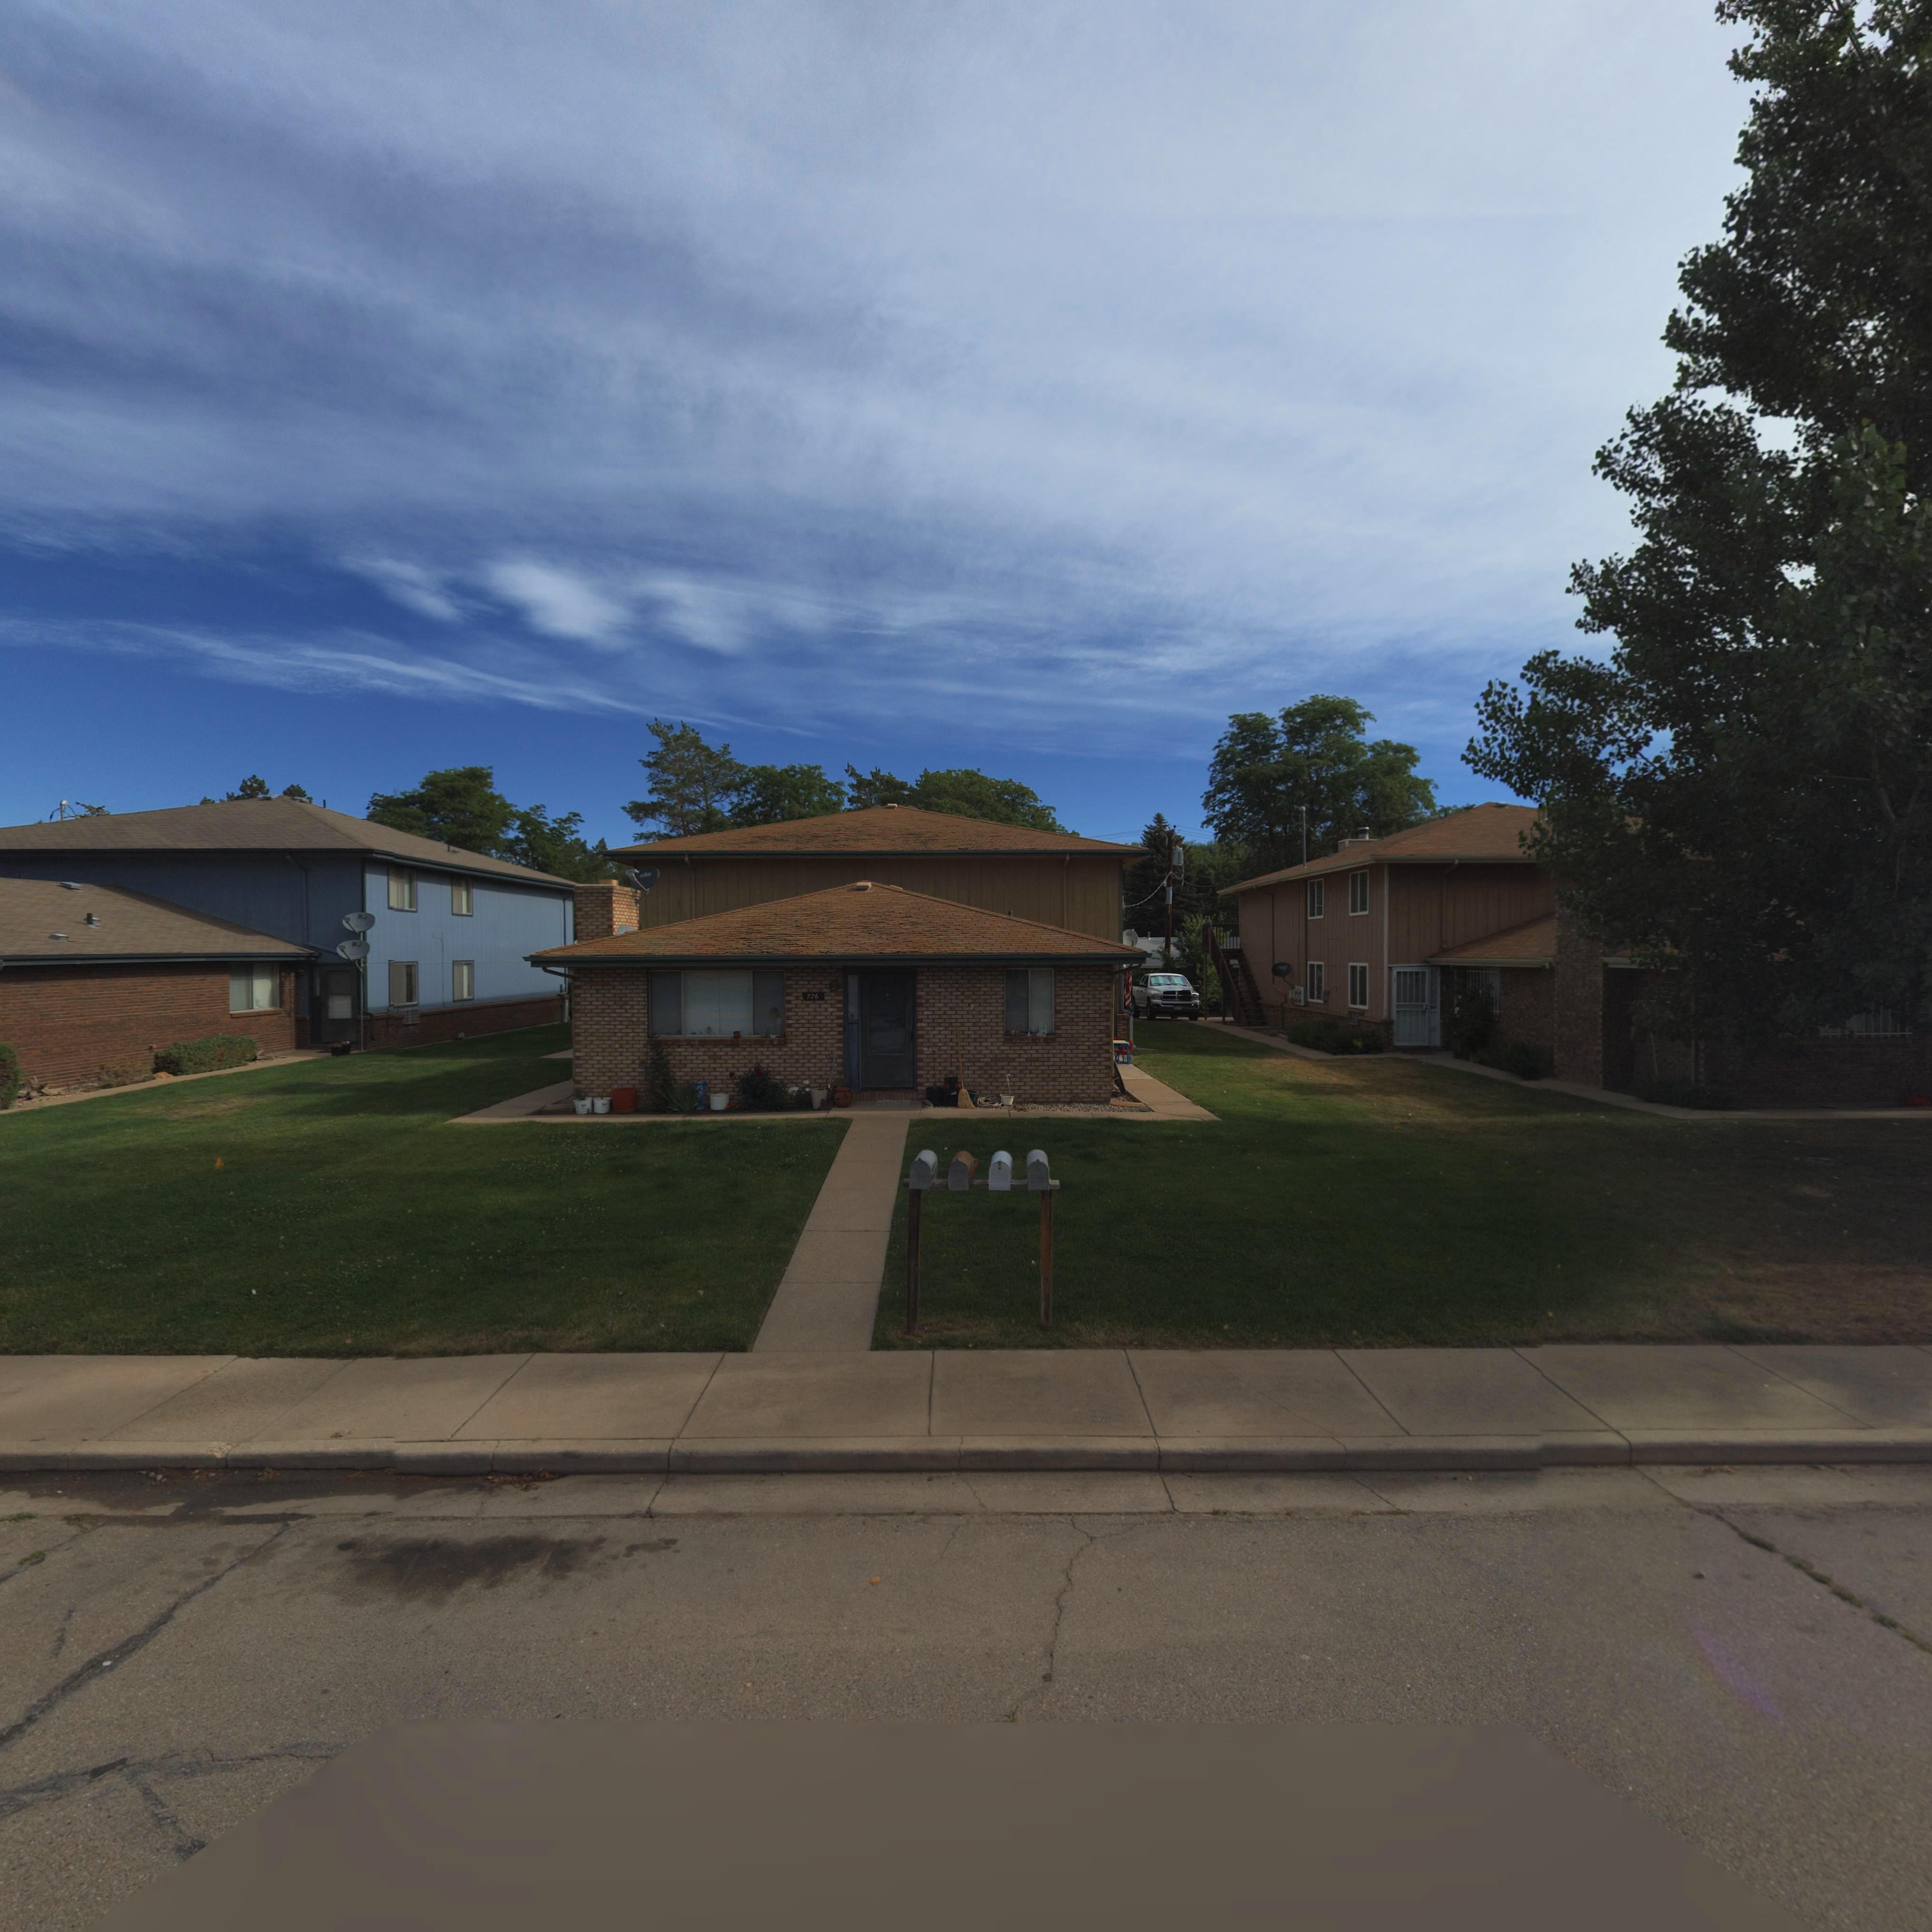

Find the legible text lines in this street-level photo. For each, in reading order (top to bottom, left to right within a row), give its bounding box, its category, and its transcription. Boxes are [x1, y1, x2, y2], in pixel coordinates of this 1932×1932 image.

[806, 993, 819, 1000] StreetNumber: 726